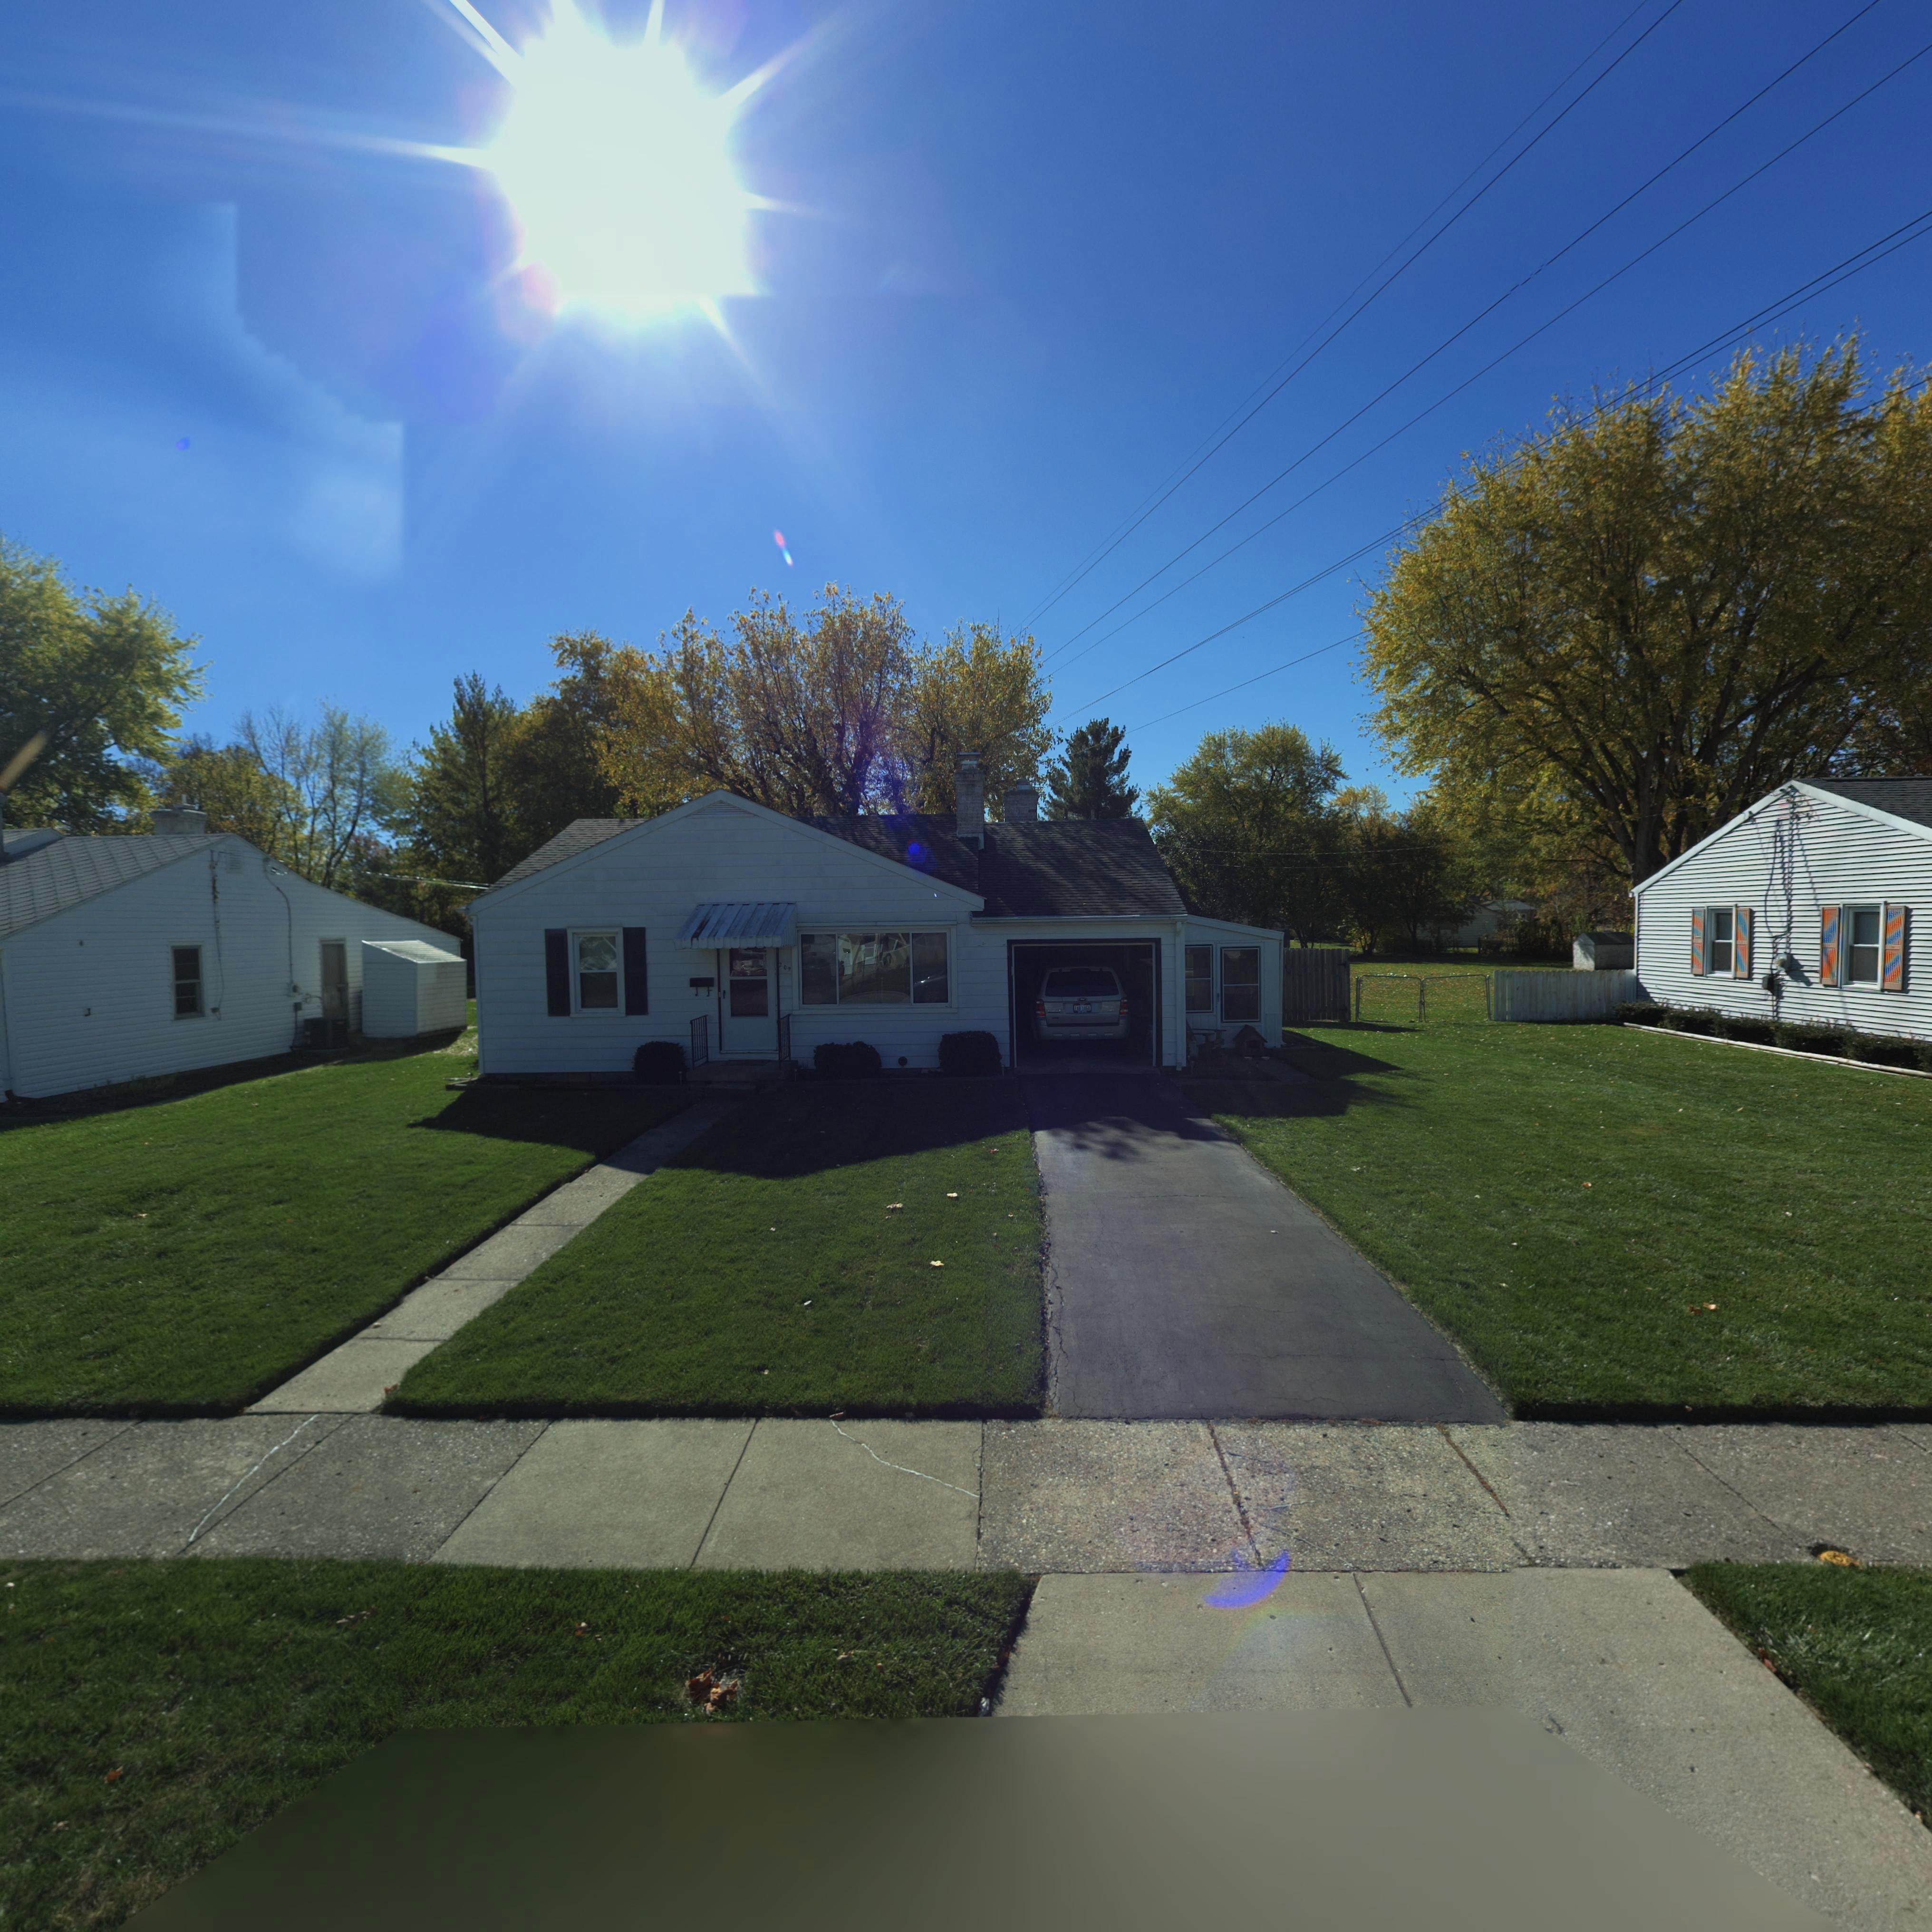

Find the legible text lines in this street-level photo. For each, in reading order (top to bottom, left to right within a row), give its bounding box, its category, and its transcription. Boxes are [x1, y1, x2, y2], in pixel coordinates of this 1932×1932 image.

[778, 961, 792, 973] StreetNumber: 209